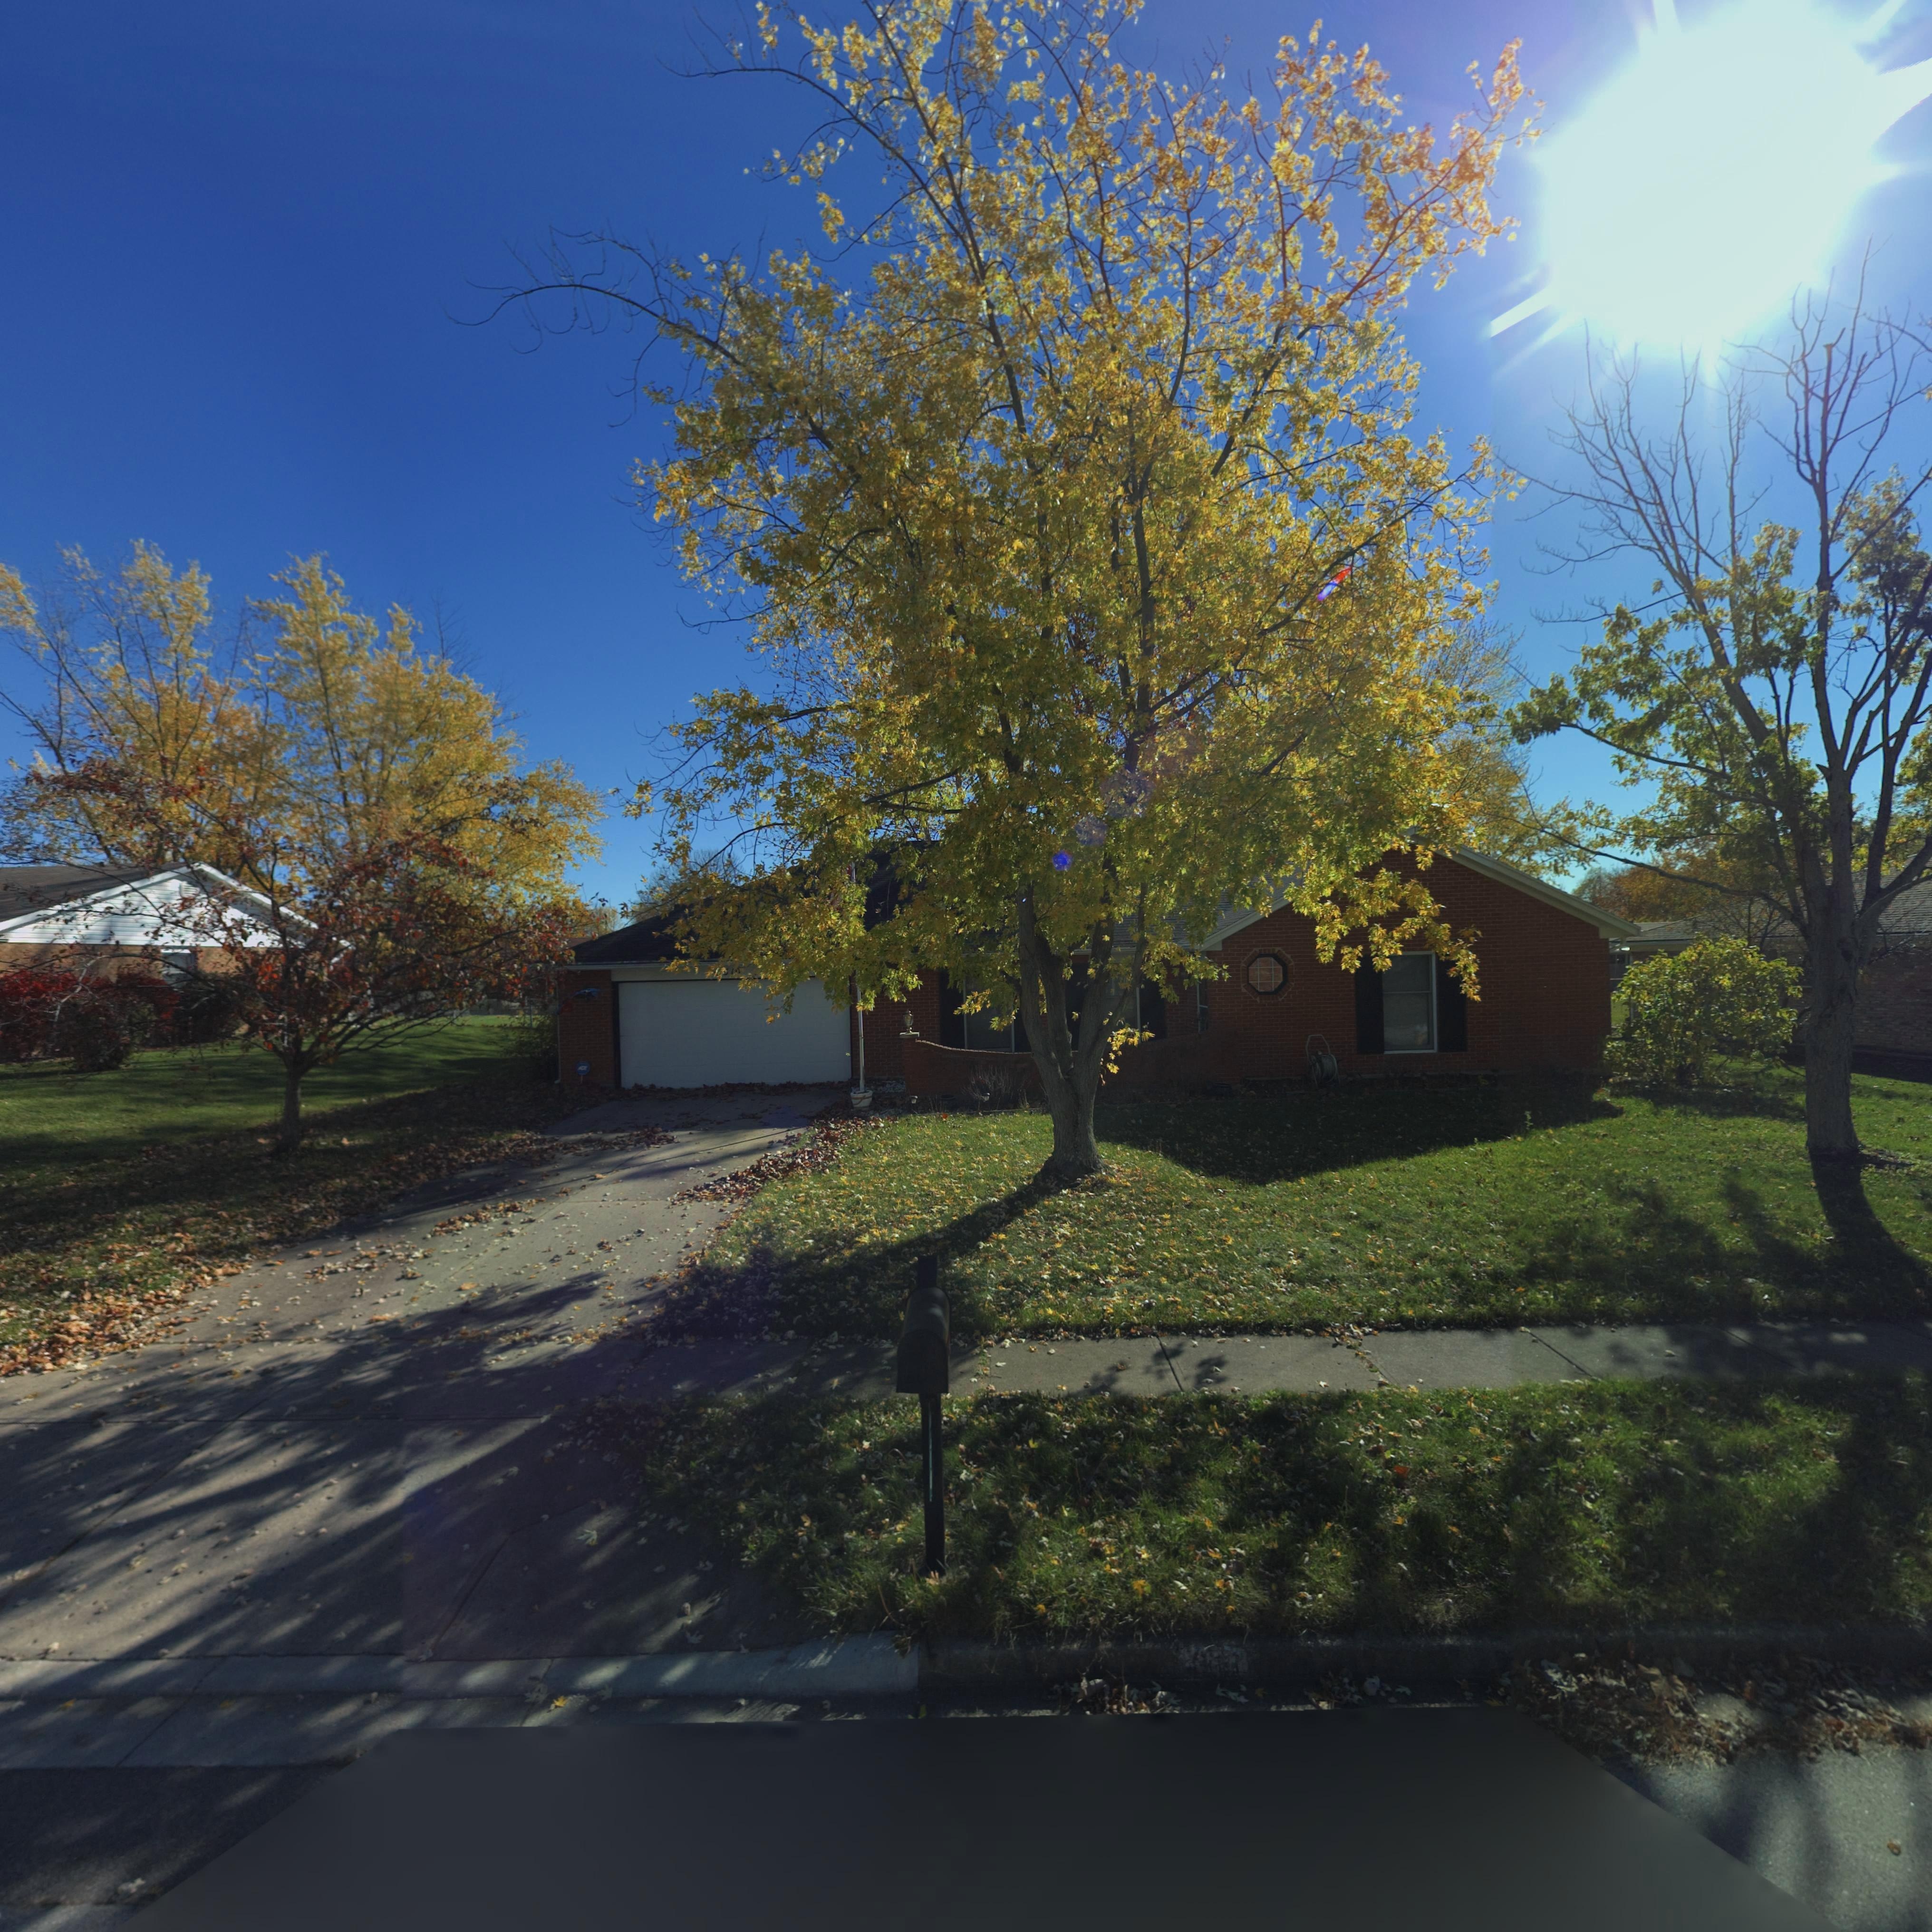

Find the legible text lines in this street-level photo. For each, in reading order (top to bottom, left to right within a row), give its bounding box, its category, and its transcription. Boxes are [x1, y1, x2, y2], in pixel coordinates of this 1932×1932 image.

[731, 967, 734, 976] StreetNumber: 1